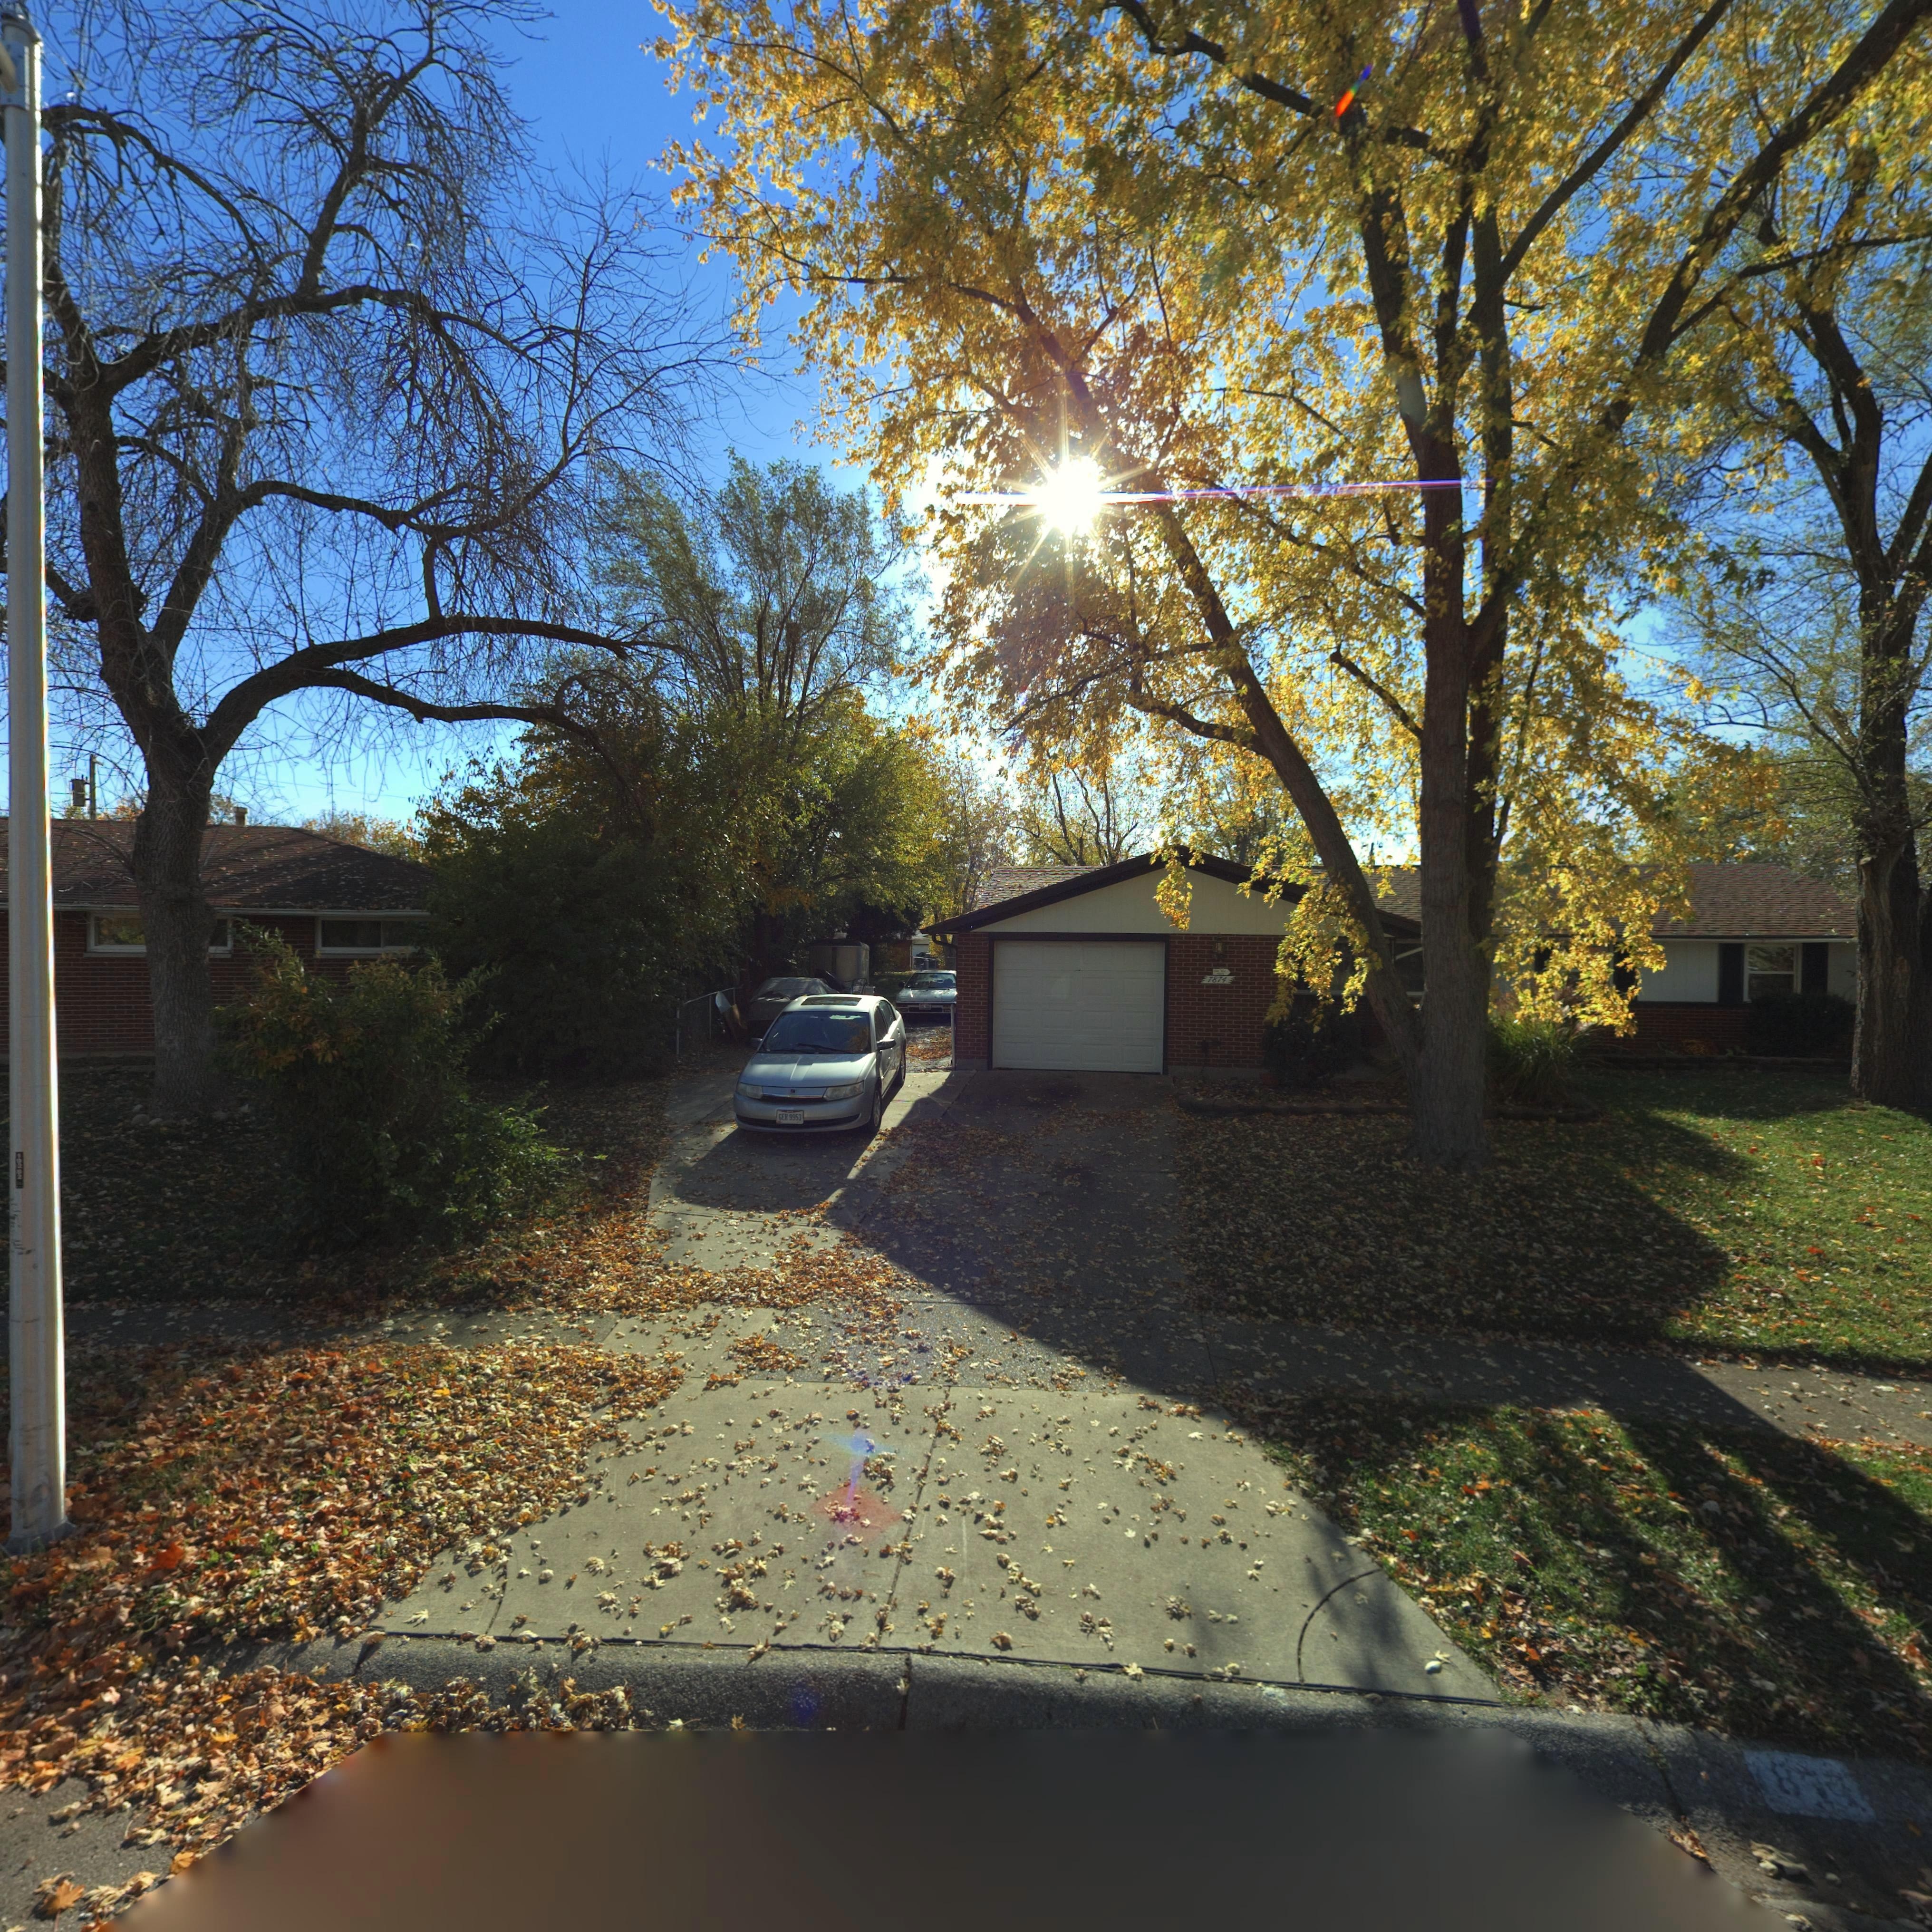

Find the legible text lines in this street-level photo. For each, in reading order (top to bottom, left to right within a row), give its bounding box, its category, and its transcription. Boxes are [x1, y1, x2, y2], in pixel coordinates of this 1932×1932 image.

[1207, 976, 1227, 984] StreetNumber: 7874
[1739, 1759, 1868, 1813] StreetNumber: 787*